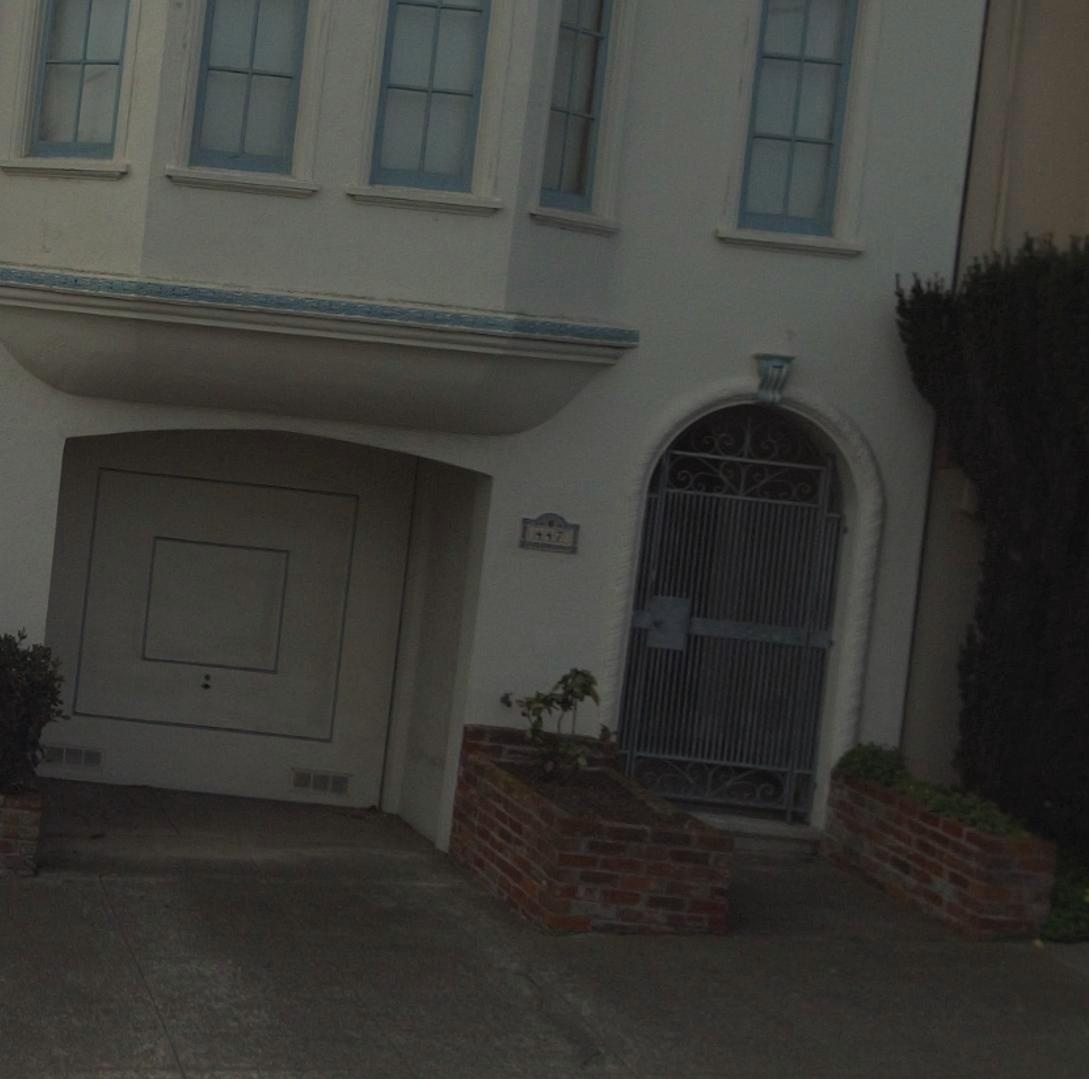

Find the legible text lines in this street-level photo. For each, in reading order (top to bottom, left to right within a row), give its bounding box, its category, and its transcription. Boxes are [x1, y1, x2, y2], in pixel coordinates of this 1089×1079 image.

[533, 527, 565, 543] StreetNumber: 447